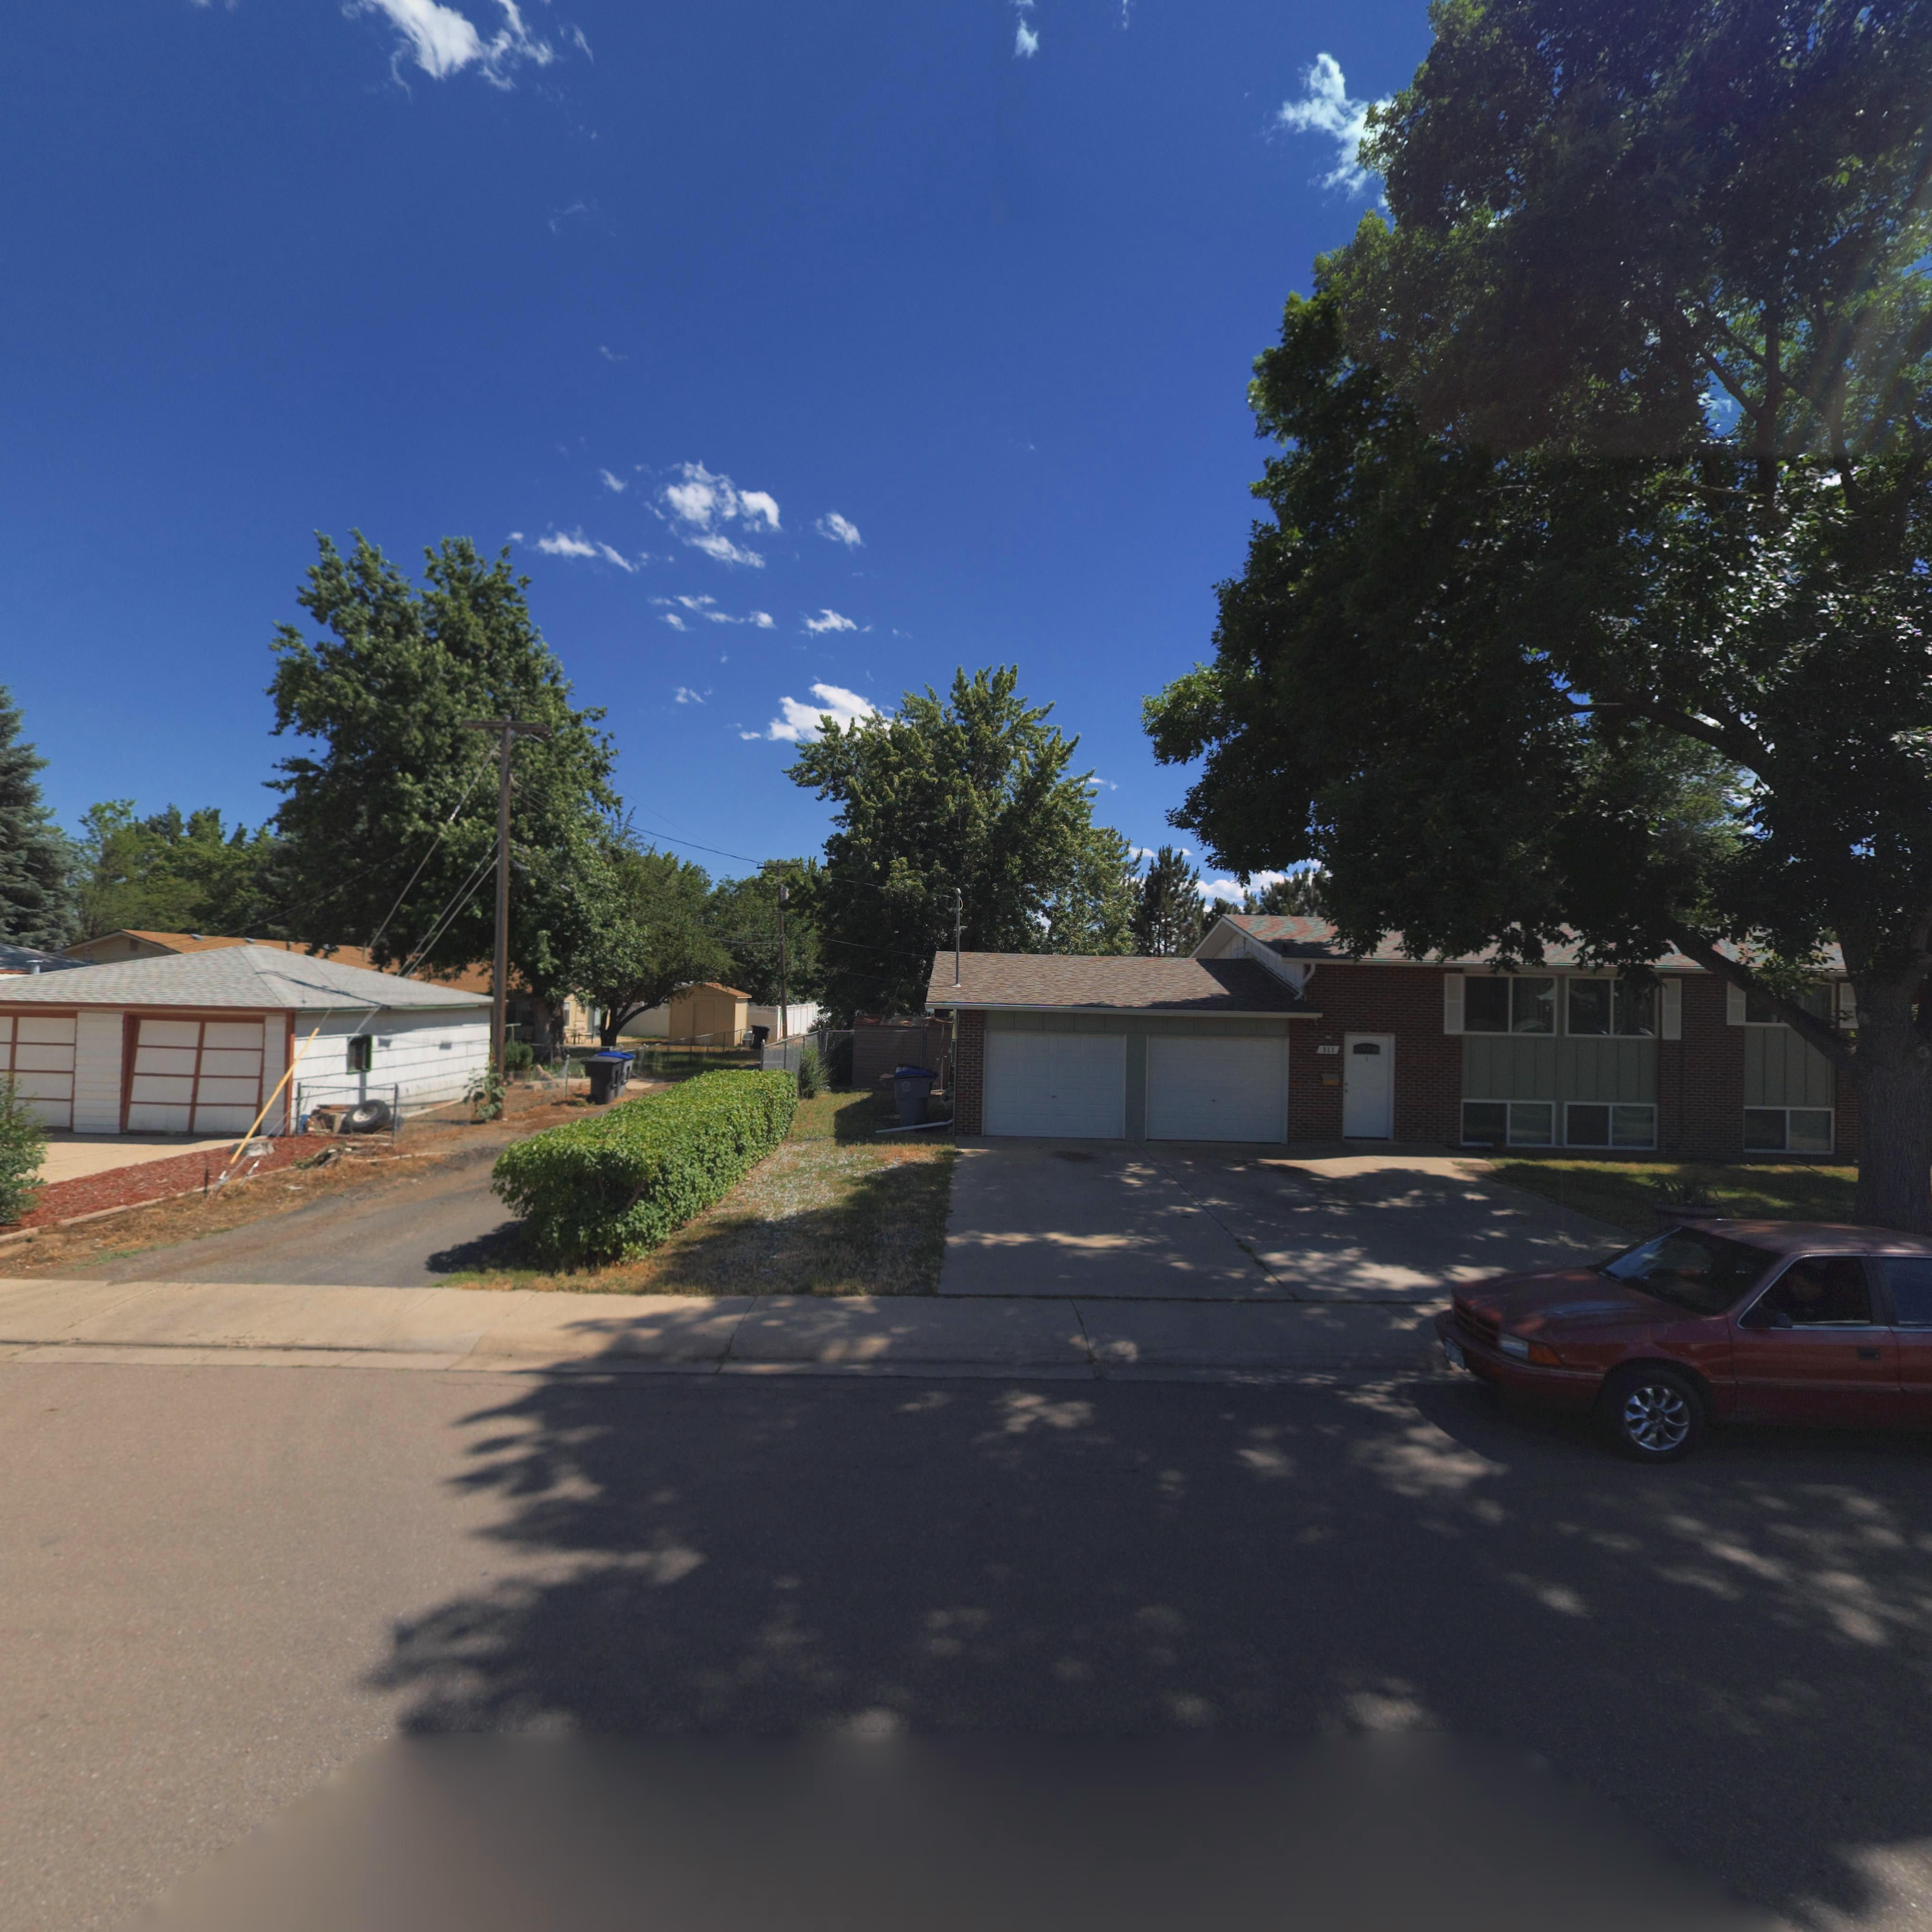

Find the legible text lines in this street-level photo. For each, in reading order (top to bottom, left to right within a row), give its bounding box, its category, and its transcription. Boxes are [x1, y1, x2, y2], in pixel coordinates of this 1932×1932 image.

[1322, 1047, 1333, 1053] StreetNumber: 311